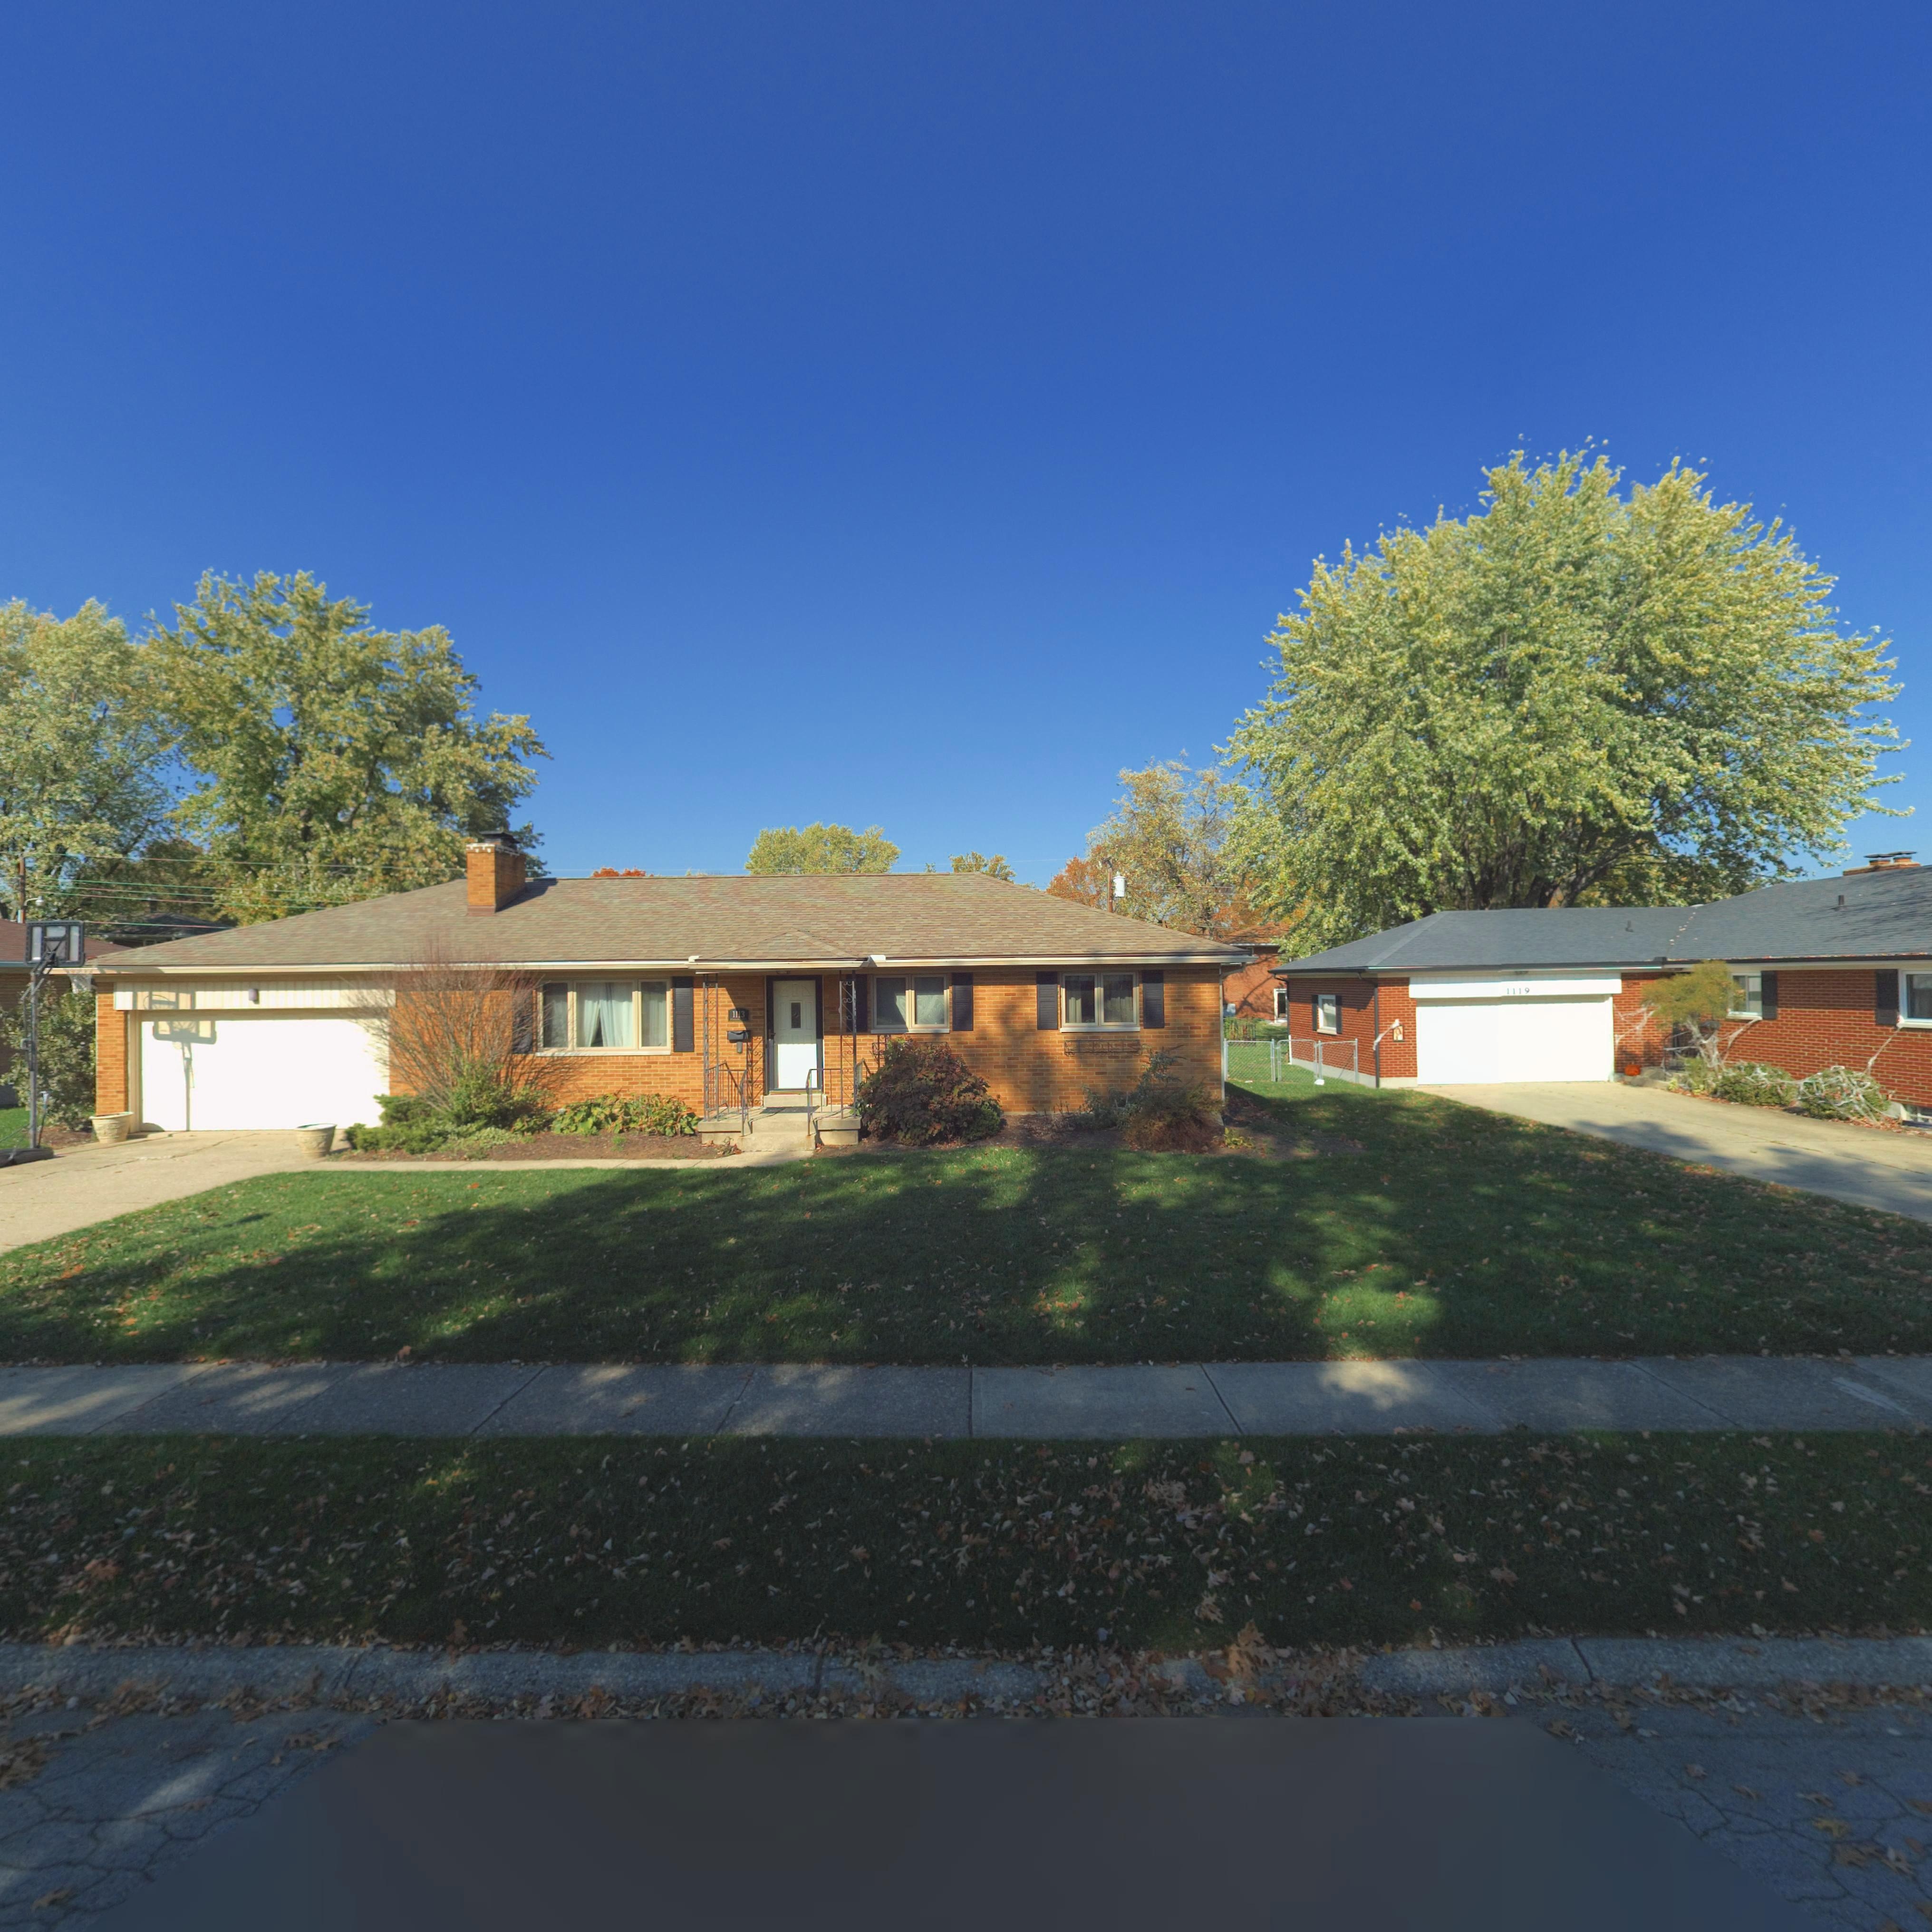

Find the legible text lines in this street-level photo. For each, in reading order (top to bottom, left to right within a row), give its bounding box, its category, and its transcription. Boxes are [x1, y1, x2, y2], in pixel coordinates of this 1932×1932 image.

[1506, 986, 1529, 995] StreetNumber: 1119
[732, 1010, 746, 1018] StreetNumber: 1113